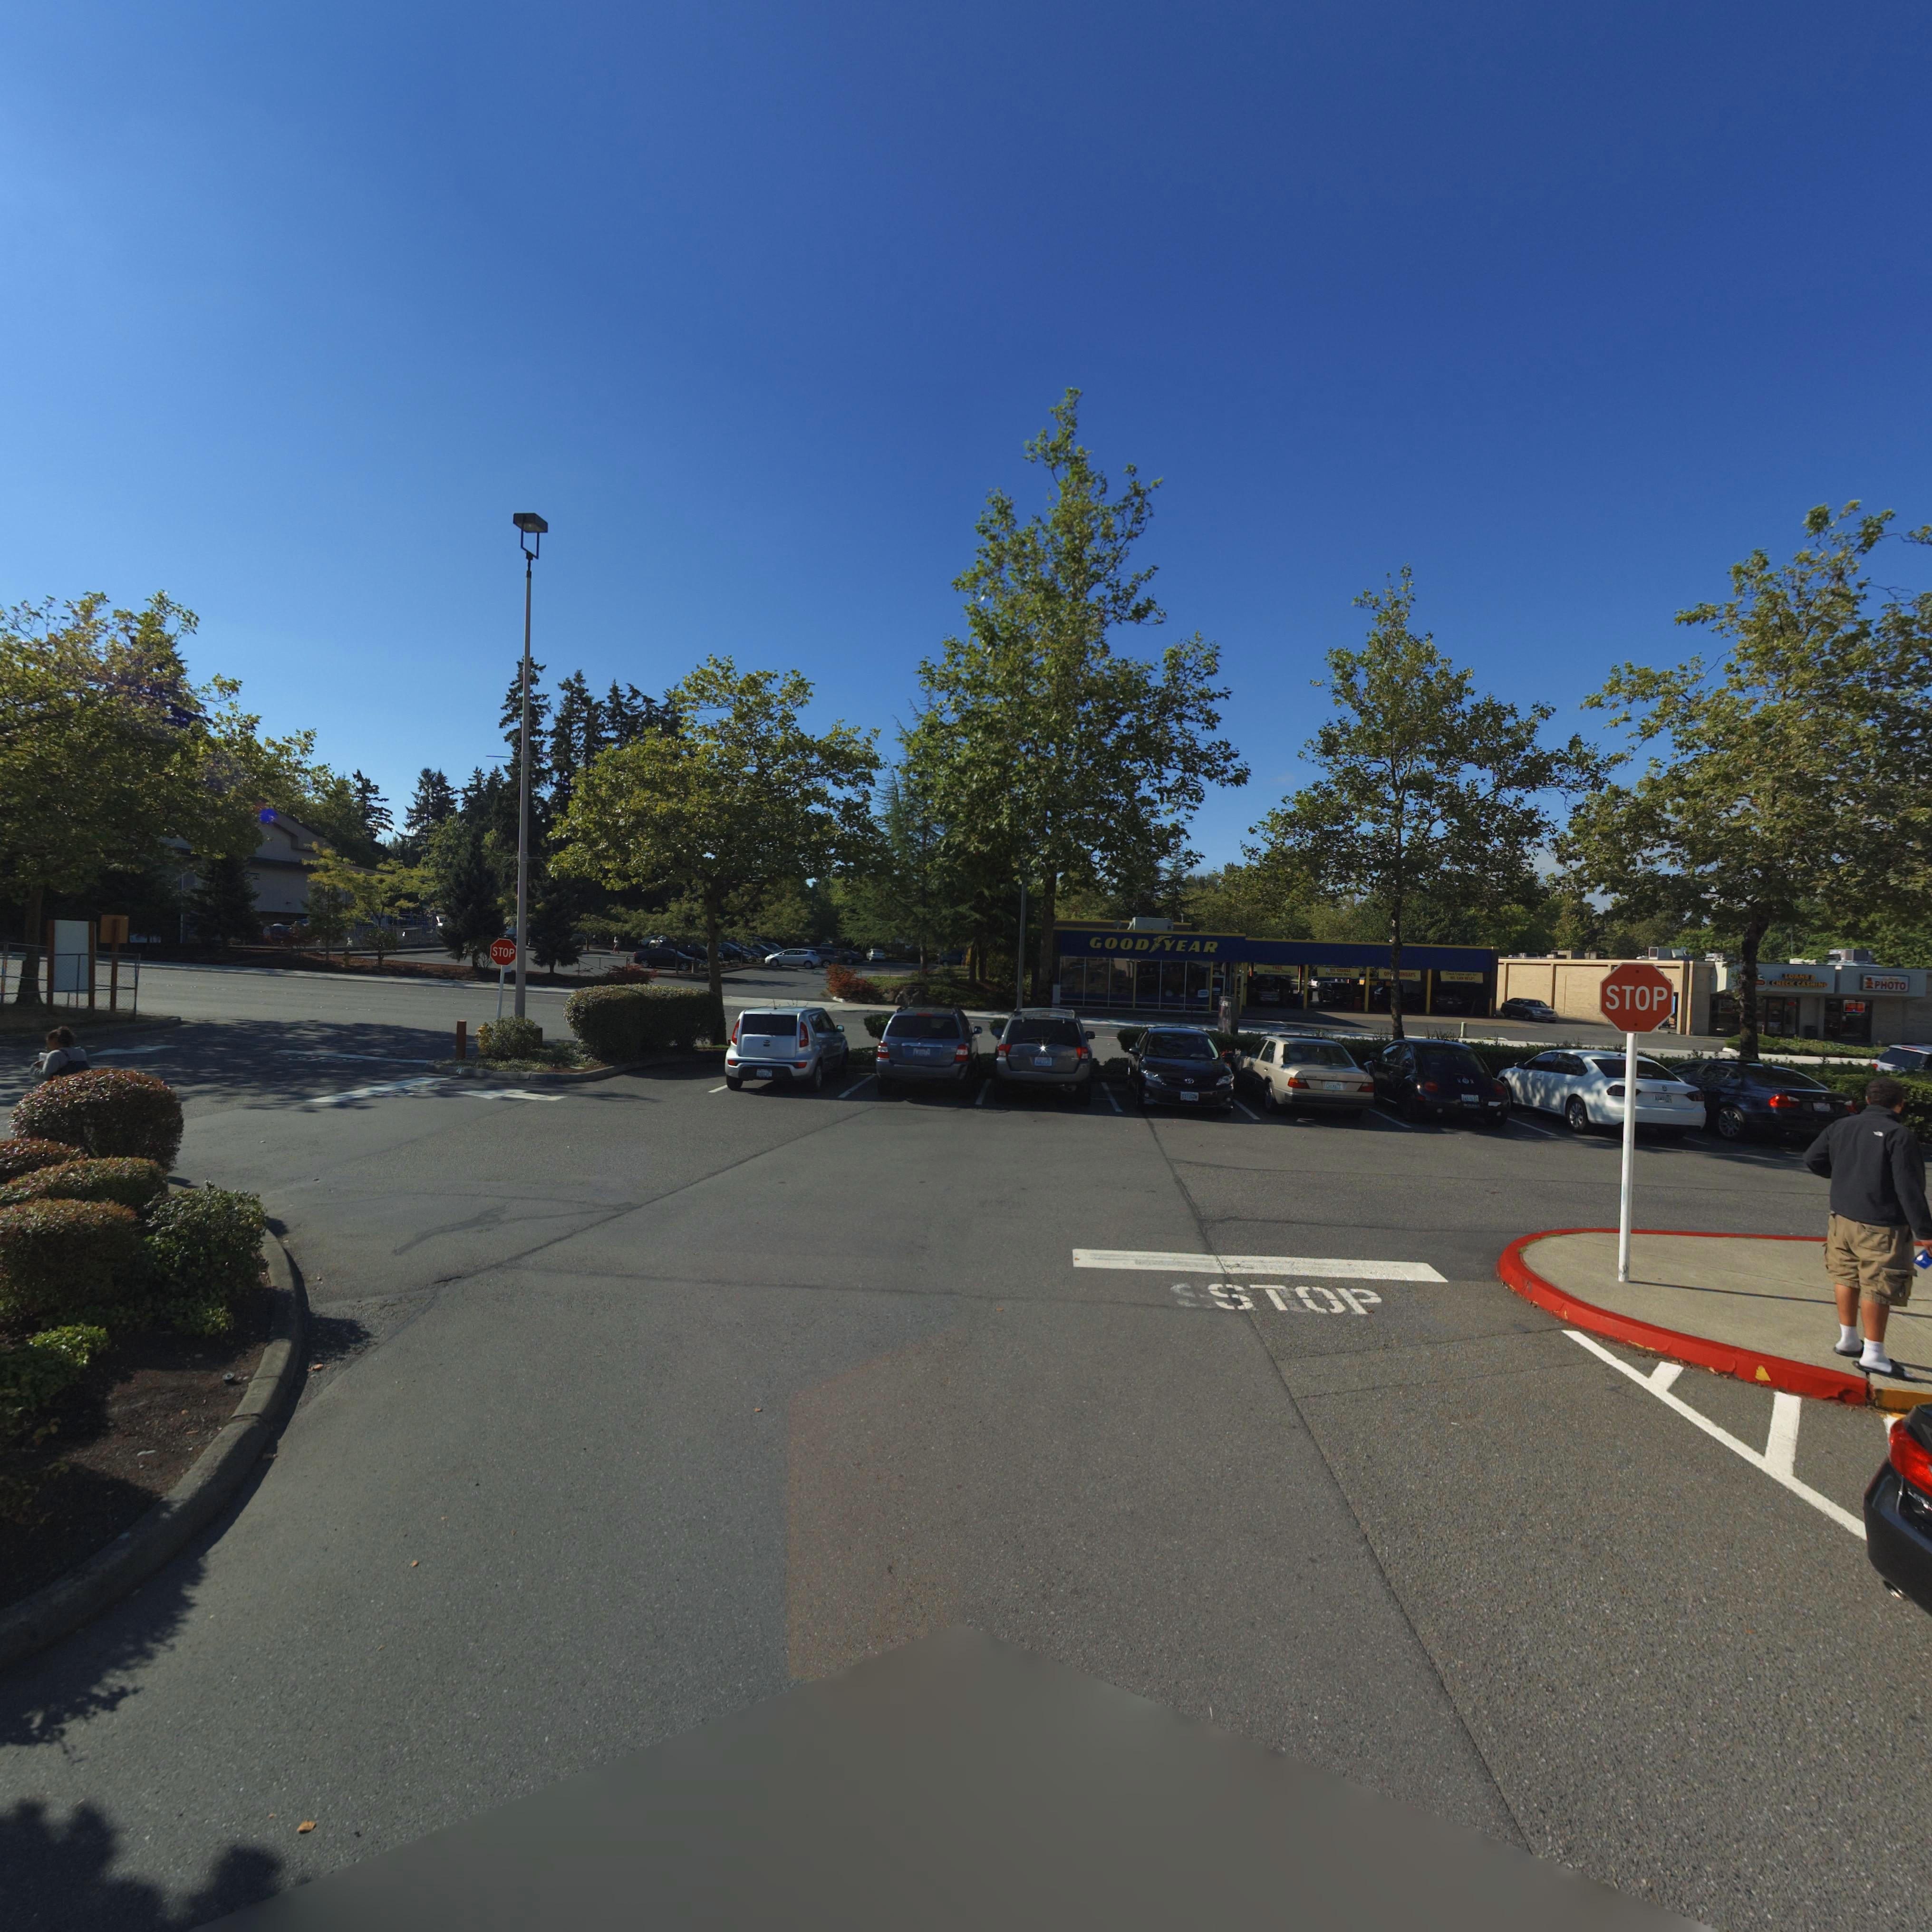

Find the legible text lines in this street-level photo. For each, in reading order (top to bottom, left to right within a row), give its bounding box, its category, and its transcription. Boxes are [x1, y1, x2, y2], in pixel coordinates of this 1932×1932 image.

[1088, 934, 1220, 955] BusinessName: GOOD*YEAR
[1874, 980, 1905, 990] BusinessName: PHOTO